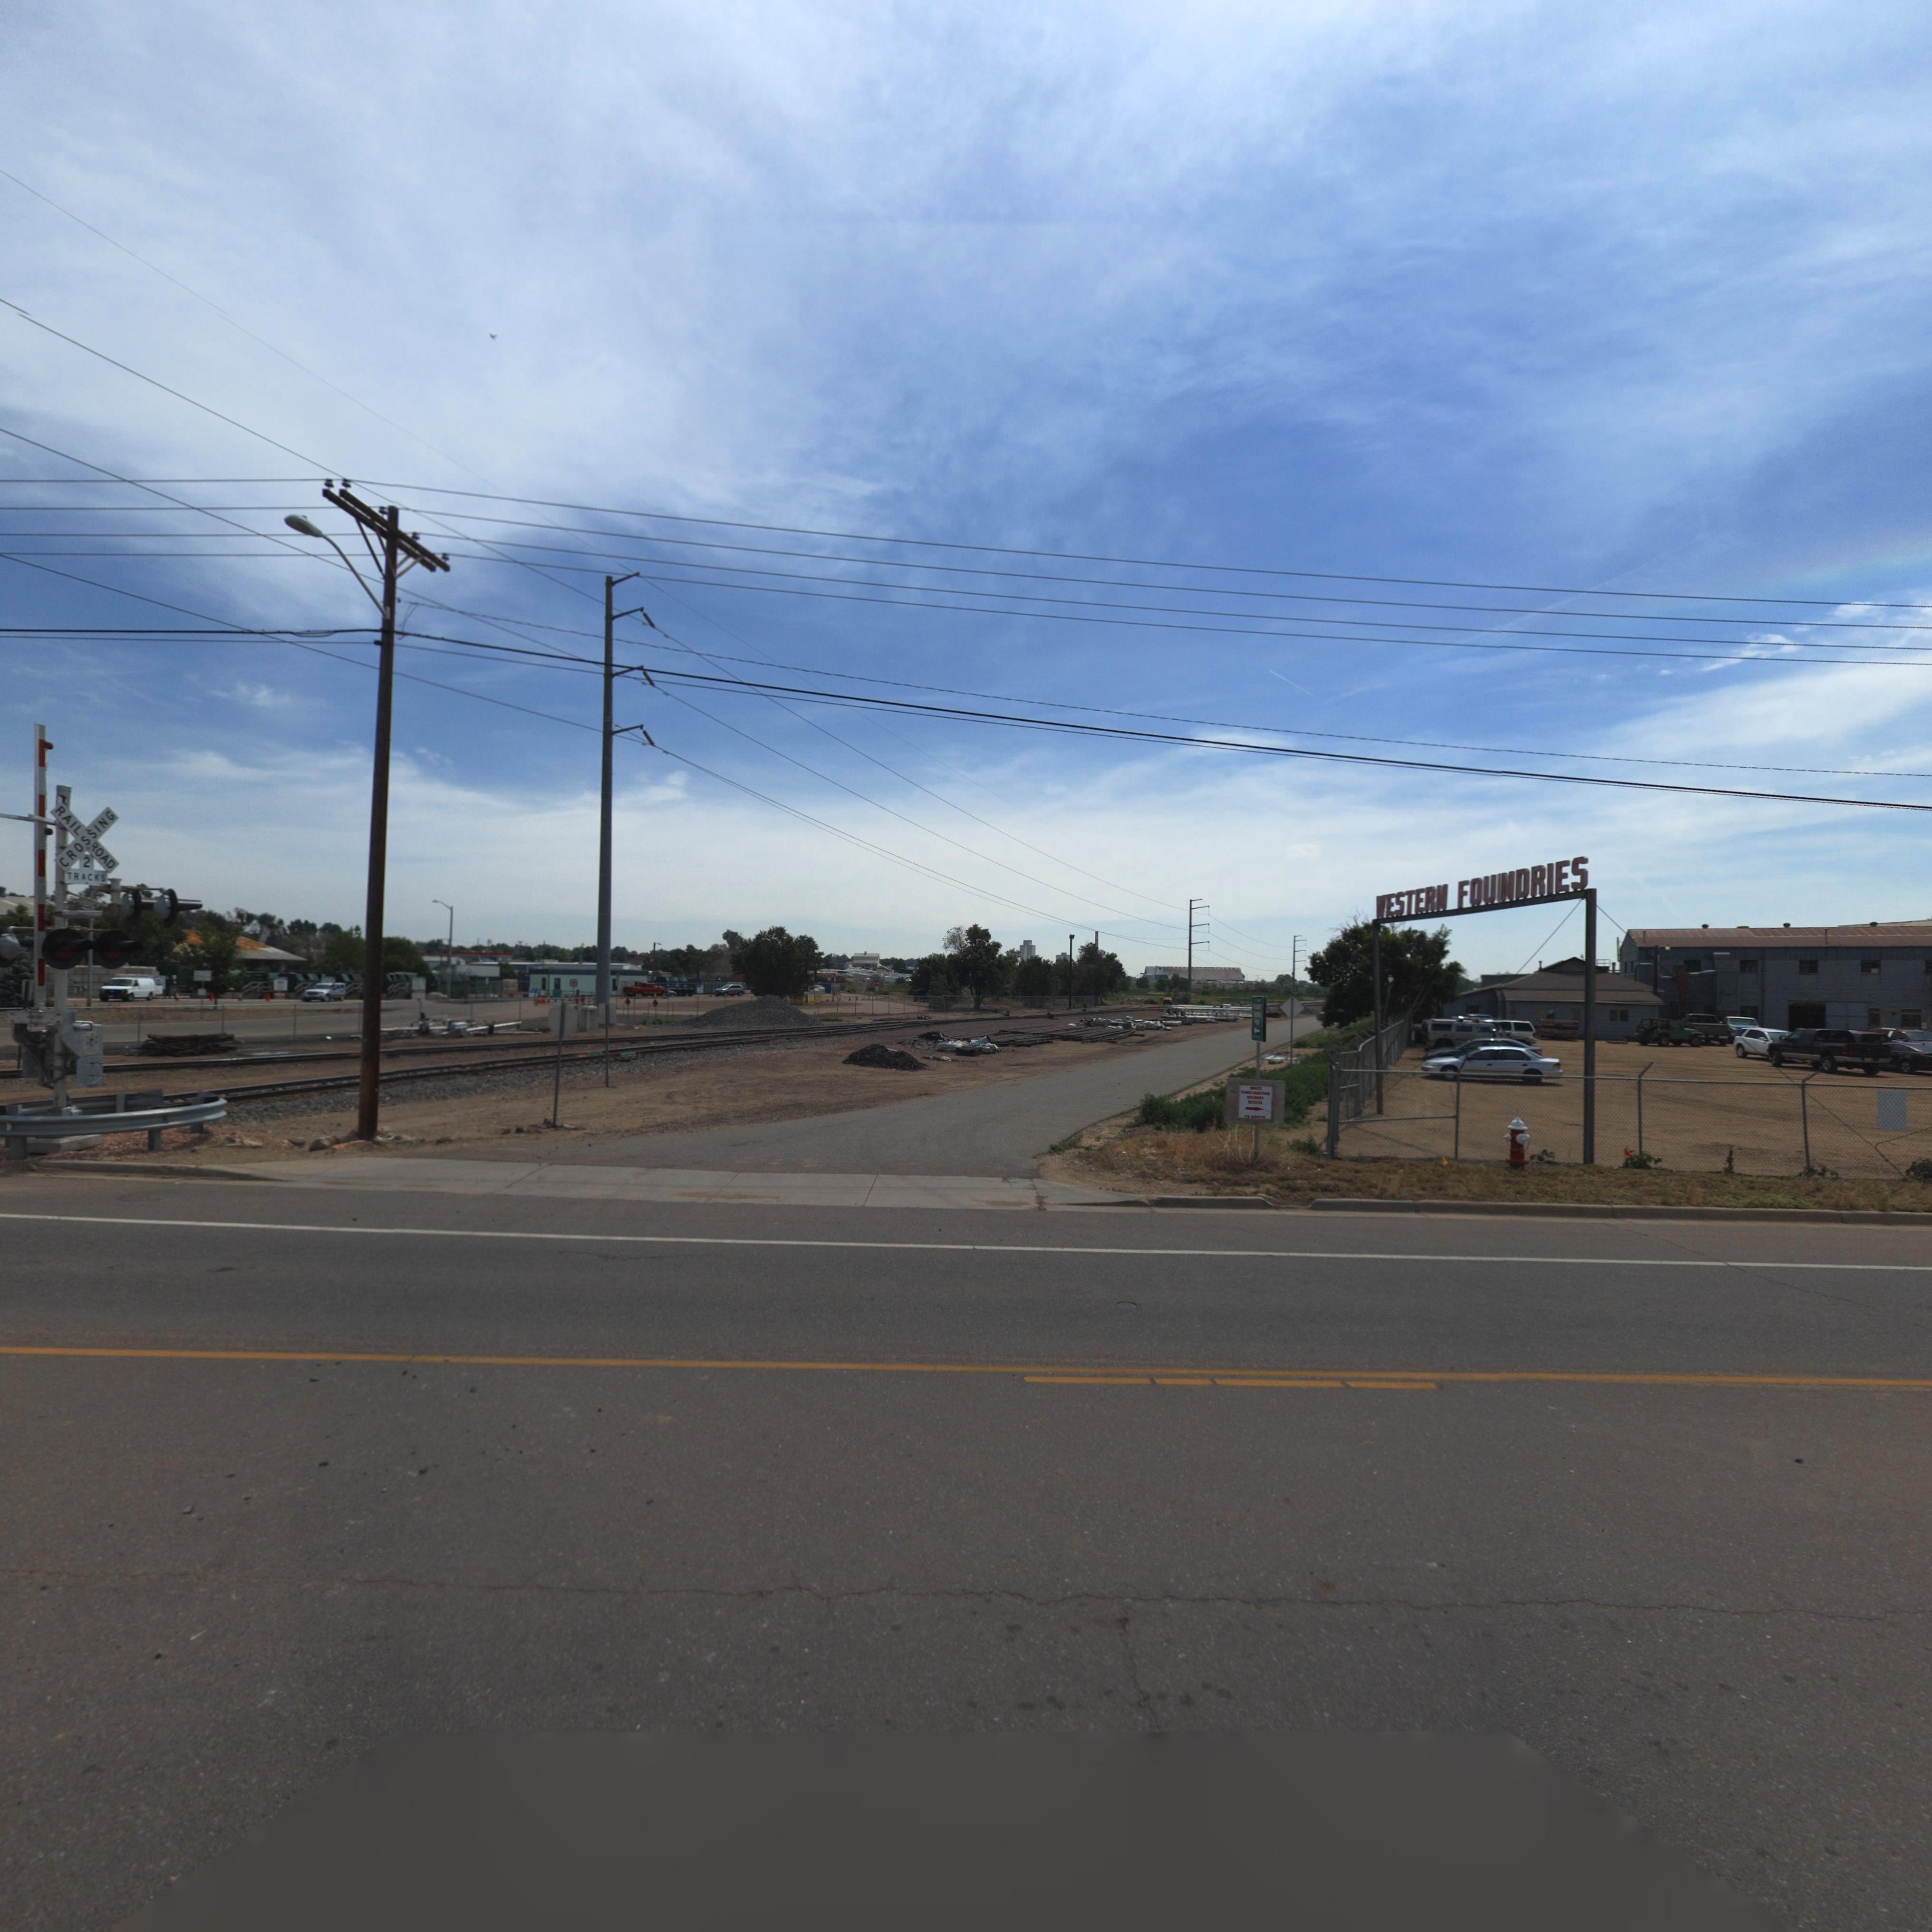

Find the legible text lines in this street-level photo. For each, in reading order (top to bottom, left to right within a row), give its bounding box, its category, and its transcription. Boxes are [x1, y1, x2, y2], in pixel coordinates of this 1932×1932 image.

[1375, 855, 1588, 918] BusinessName: WESTERN FOU*NDRIES